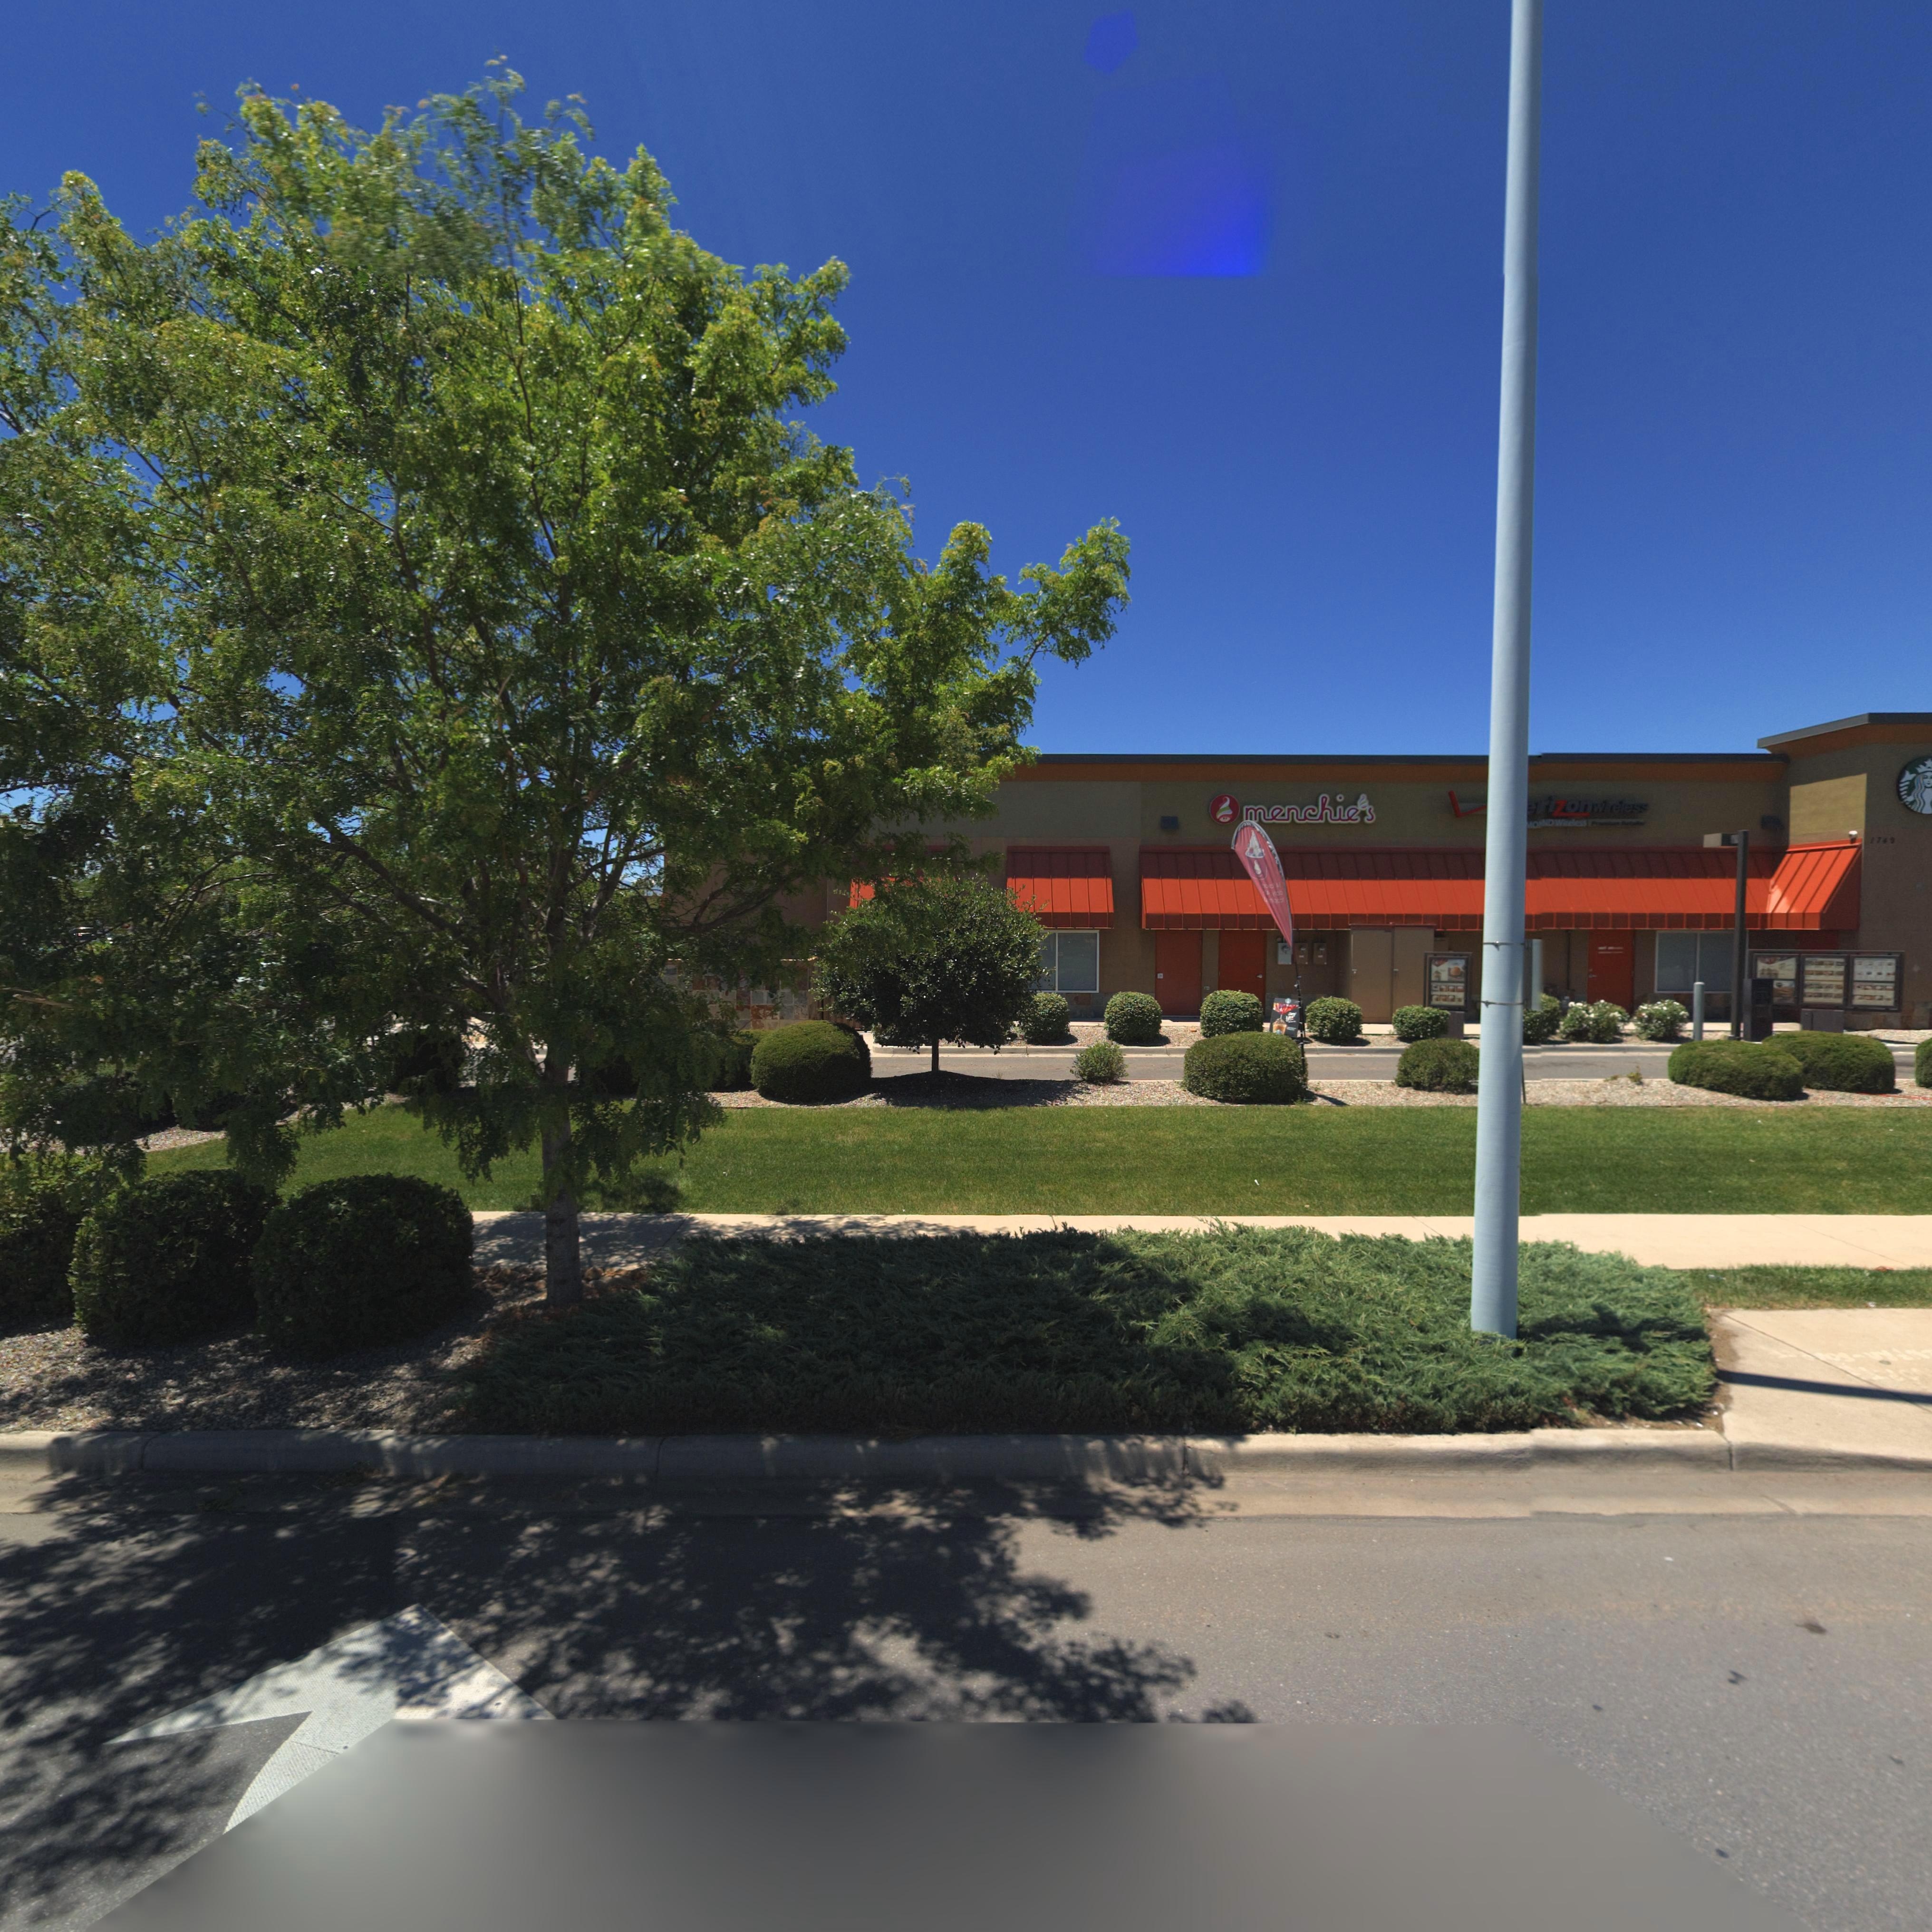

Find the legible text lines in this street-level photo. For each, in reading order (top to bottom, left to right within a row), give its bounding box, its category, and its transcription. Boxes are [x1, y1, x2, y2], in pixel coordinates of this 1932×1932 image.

[1242, 792, 1376, 822] BusinessName: menchie's
[1526, 794, 1650, 817] BusinessName: erizon wireless
[1869, 836, 1895, 844] StreetNumber: 1749